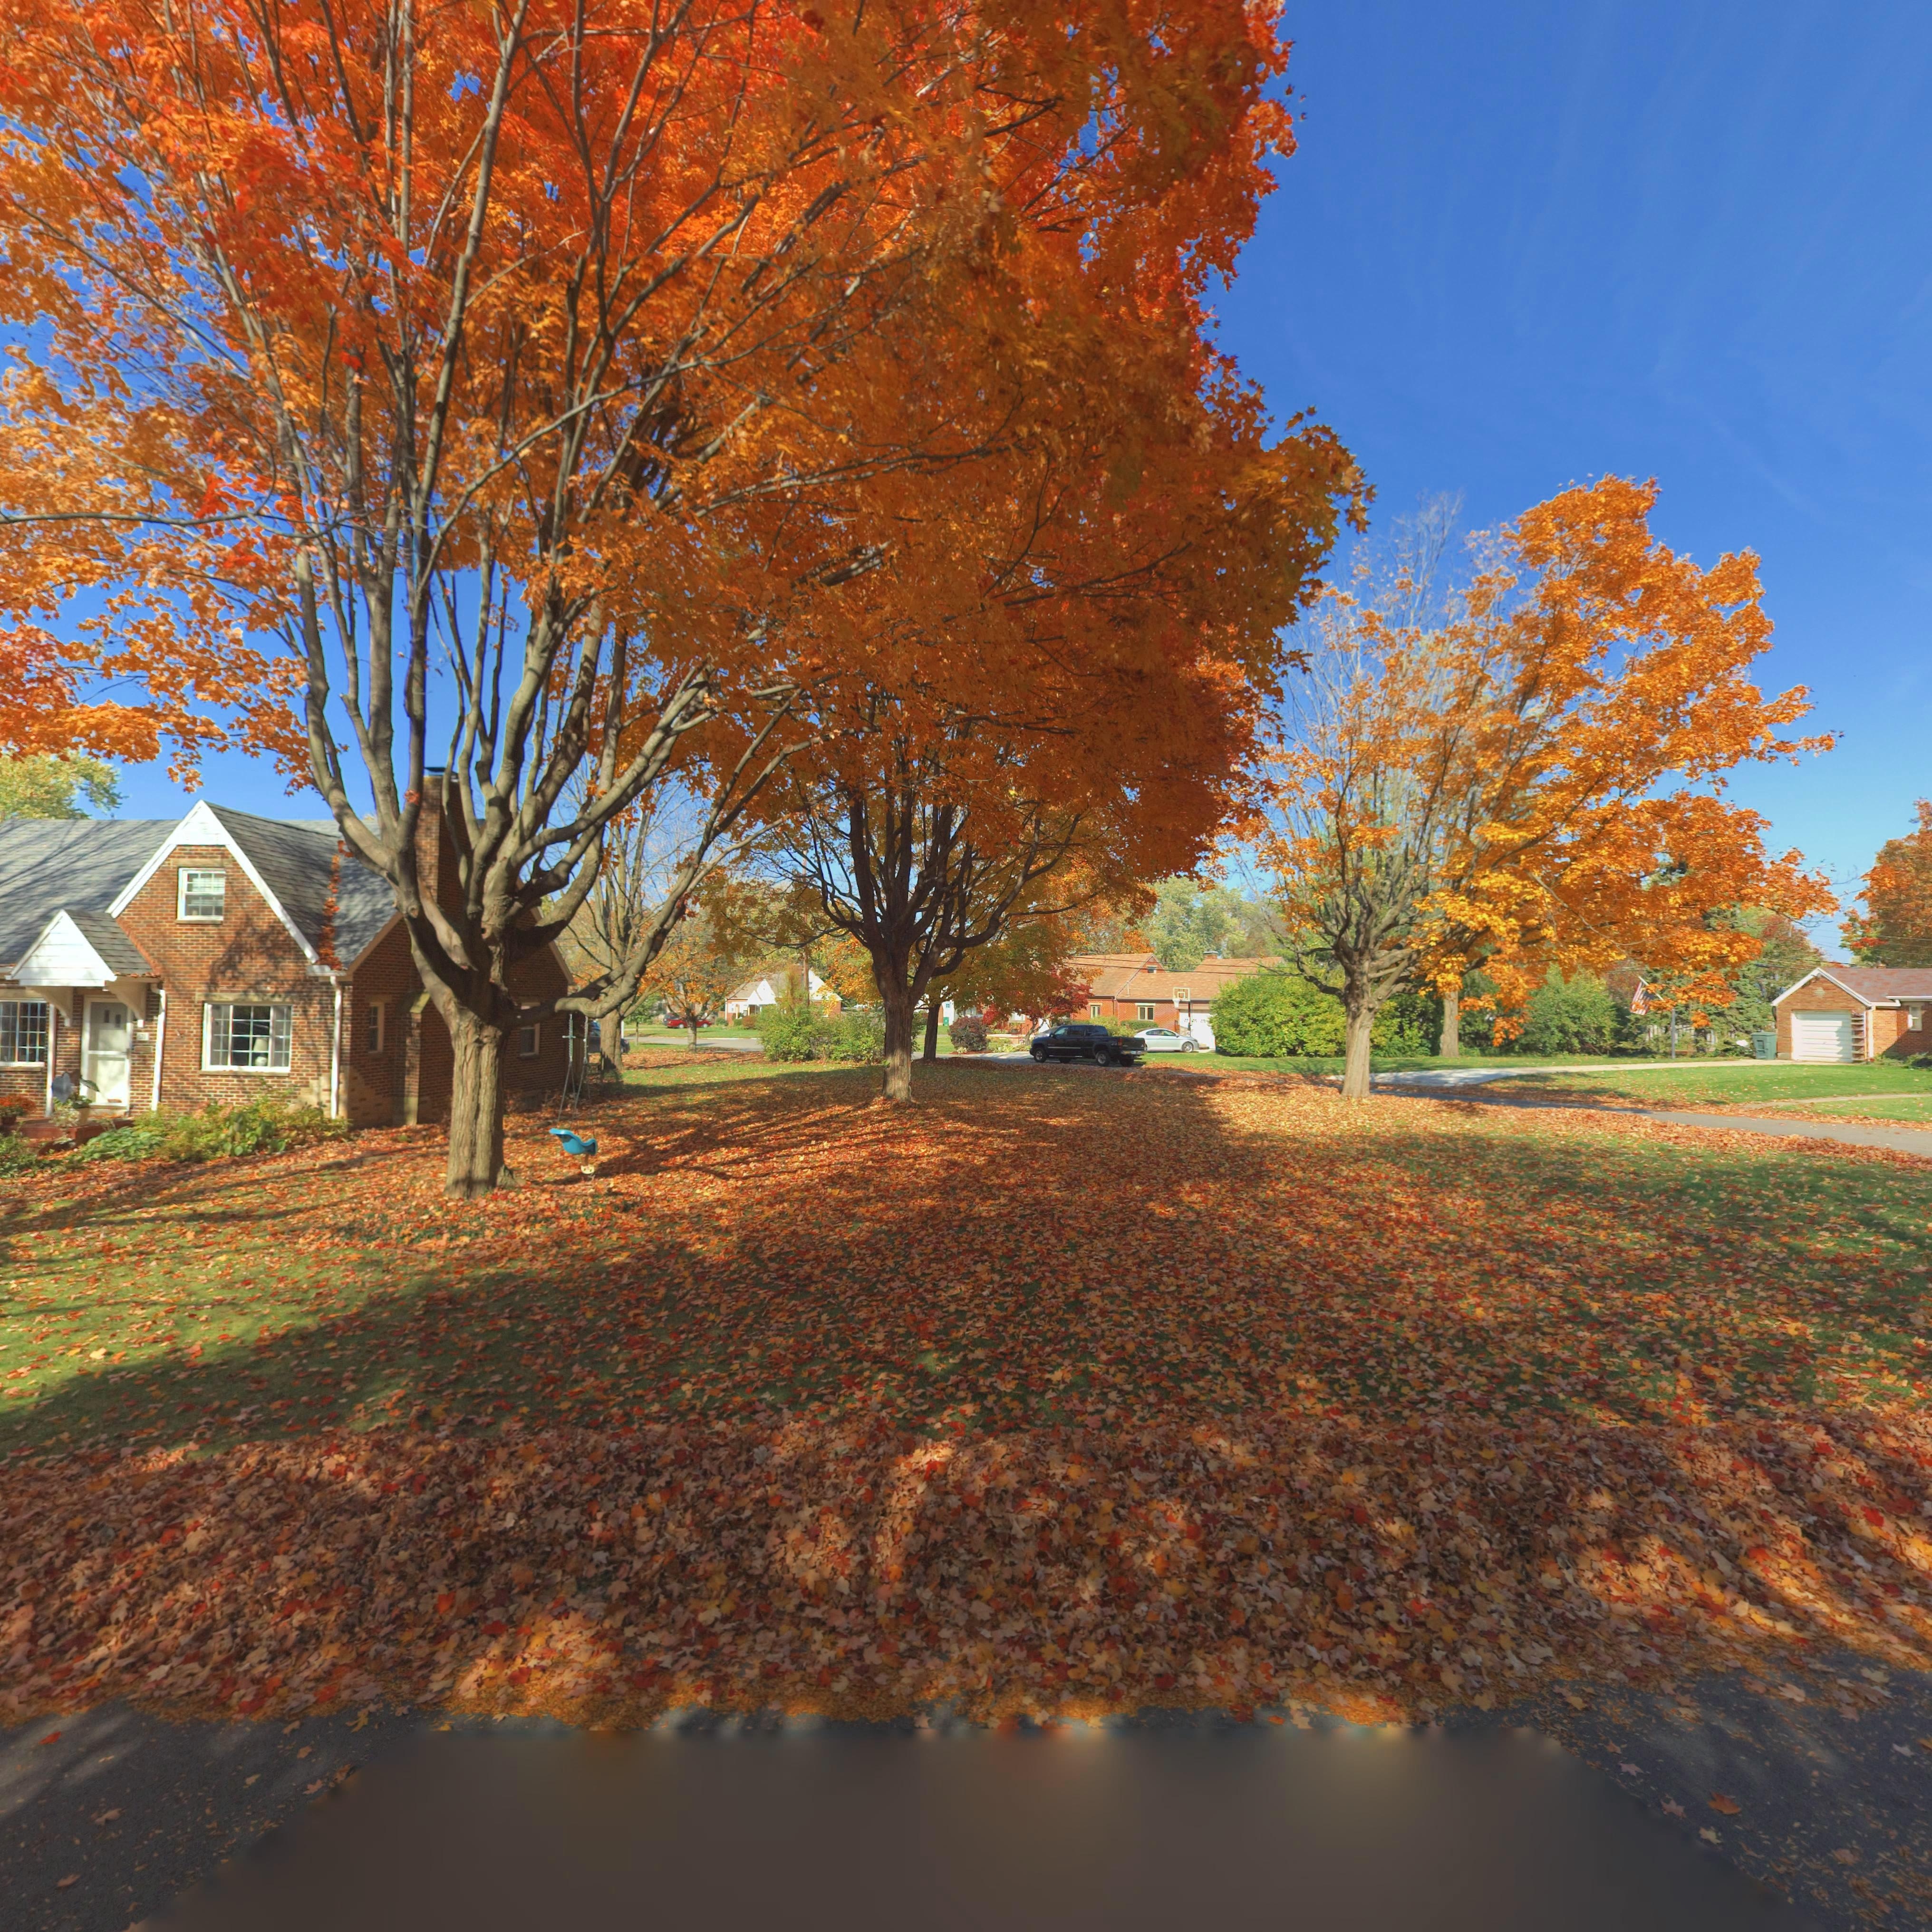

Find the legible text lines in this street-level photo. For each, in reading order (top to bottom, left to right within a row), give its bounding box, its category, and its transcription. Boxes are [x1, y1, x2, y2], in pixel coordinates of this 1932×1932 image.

[137, 1033, 147, 1040] StreetNumber: 6*1